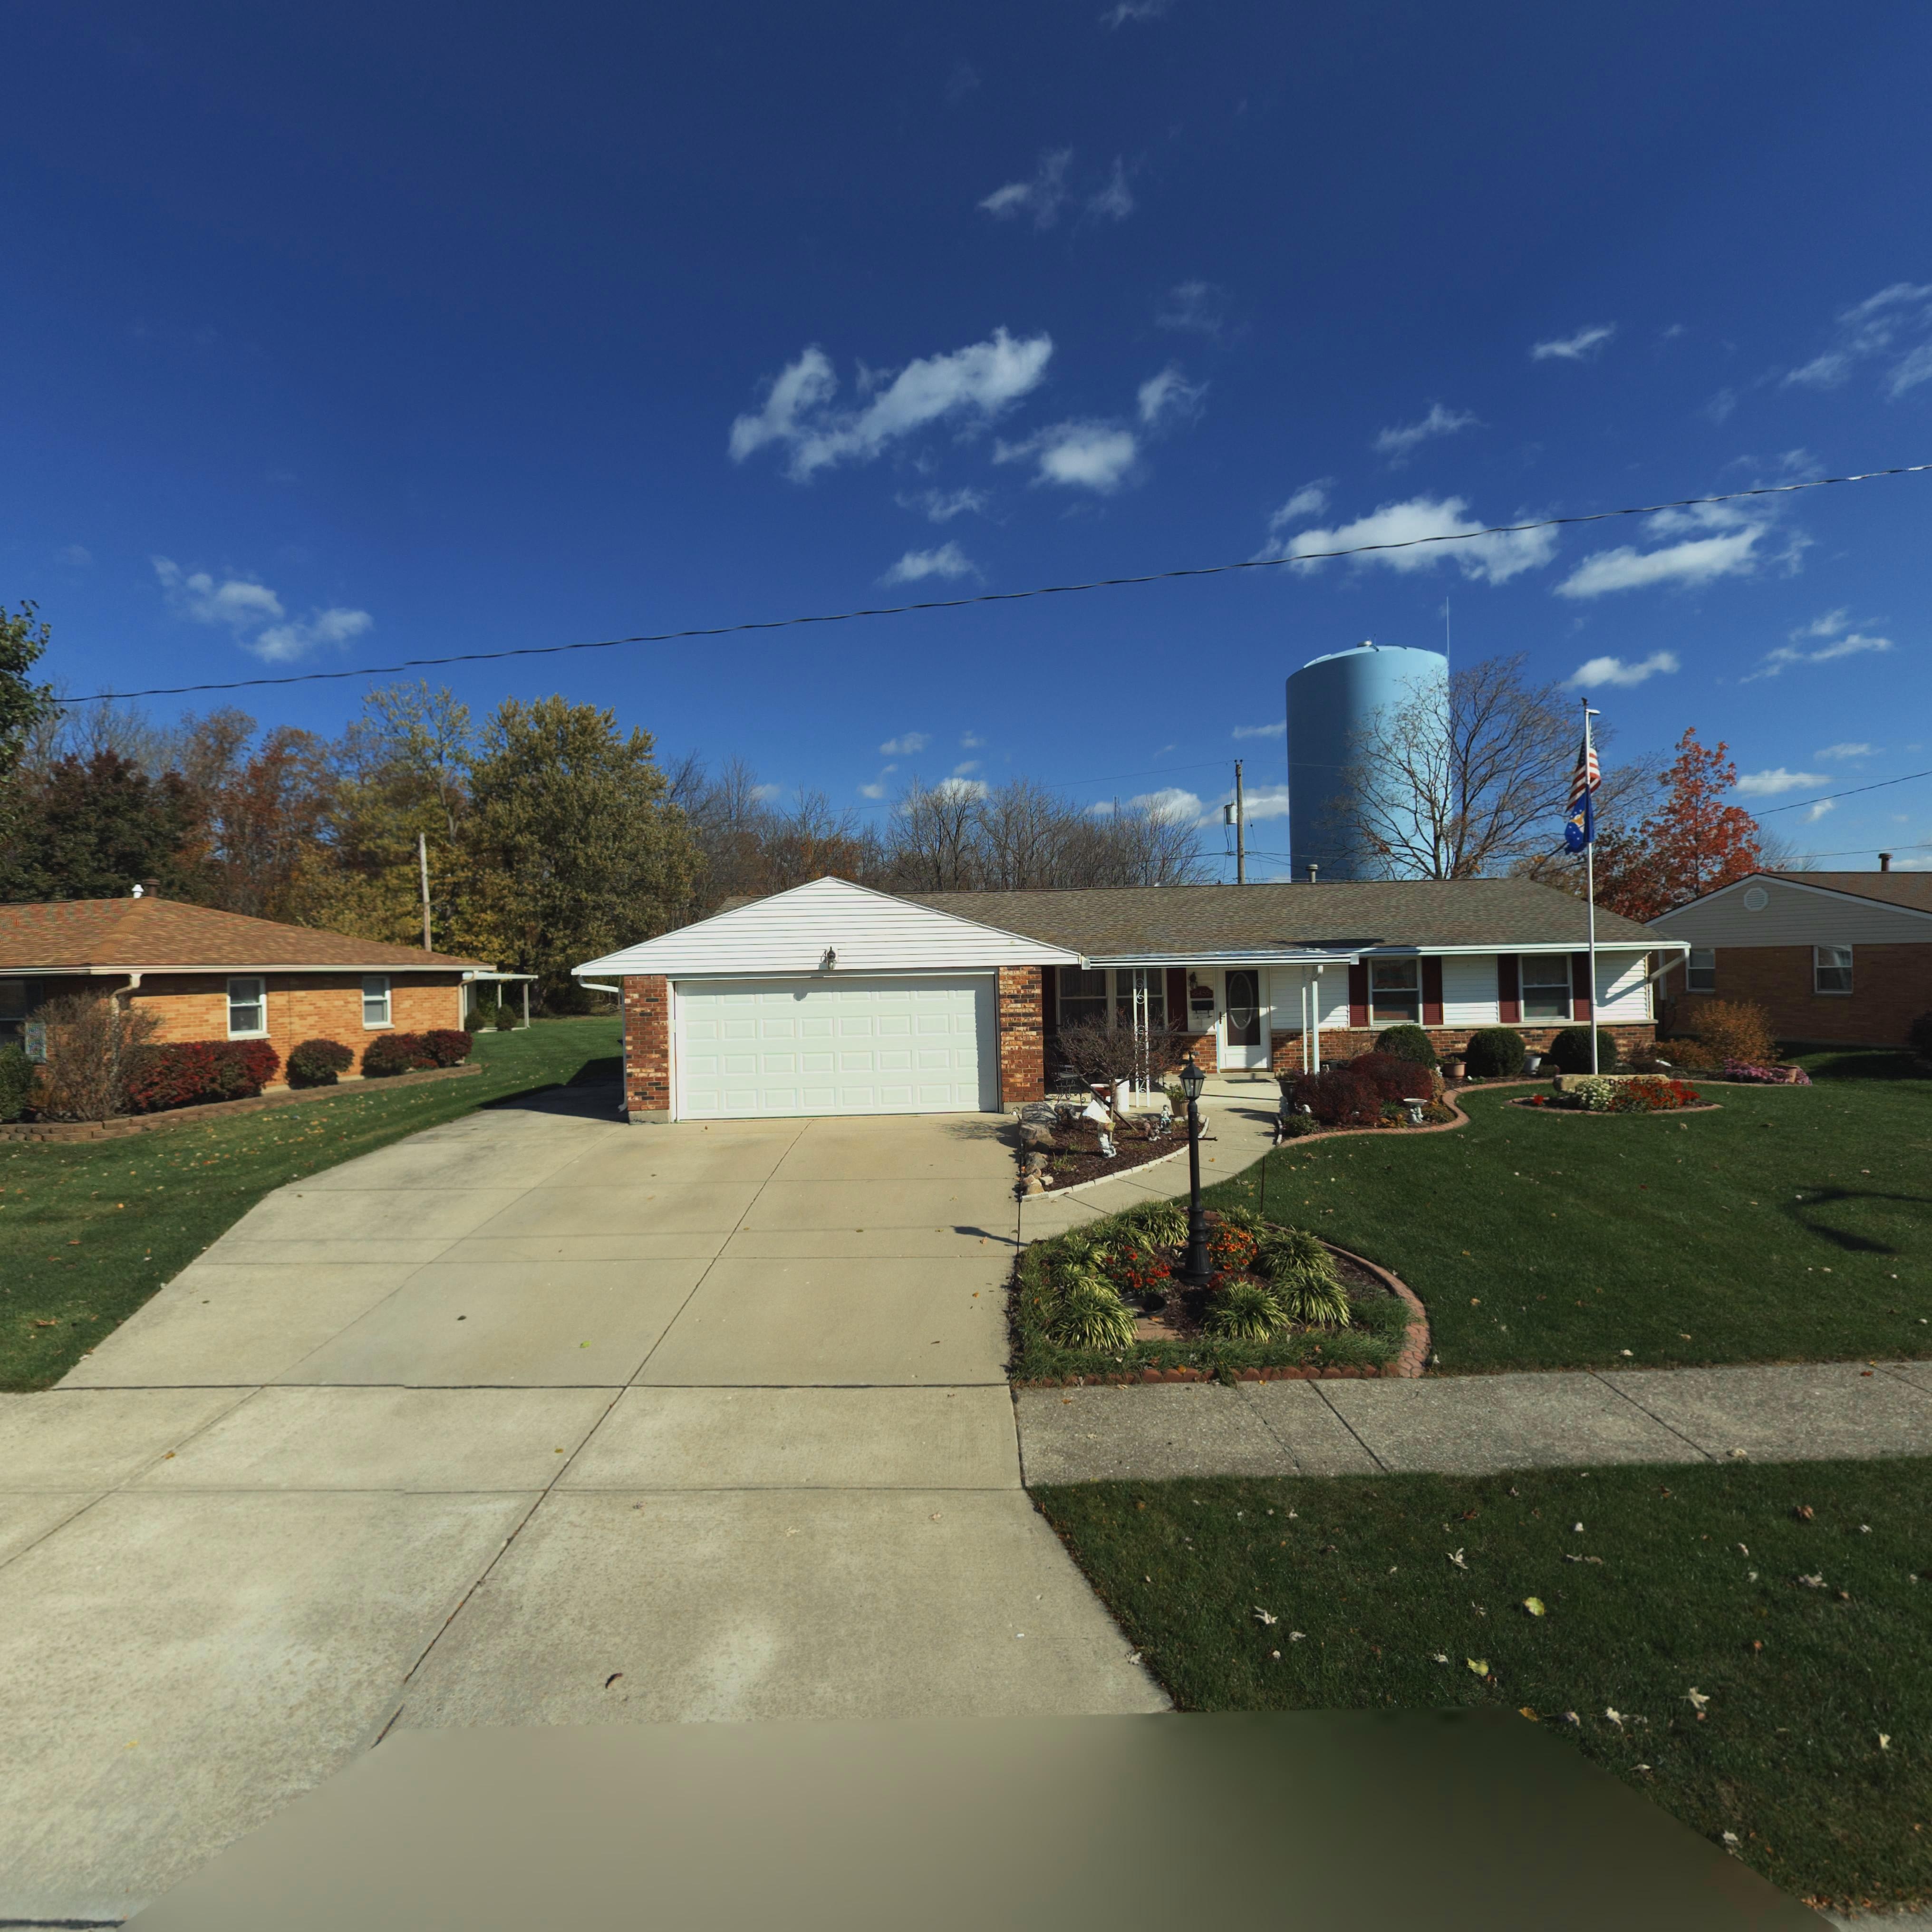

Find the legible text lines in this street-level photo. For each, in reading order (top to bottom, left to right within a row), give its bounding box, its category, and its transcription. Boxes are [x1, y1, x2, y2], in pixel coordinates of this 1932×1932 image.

[1192, 989, 1211, 997] StreetNumber: 6455